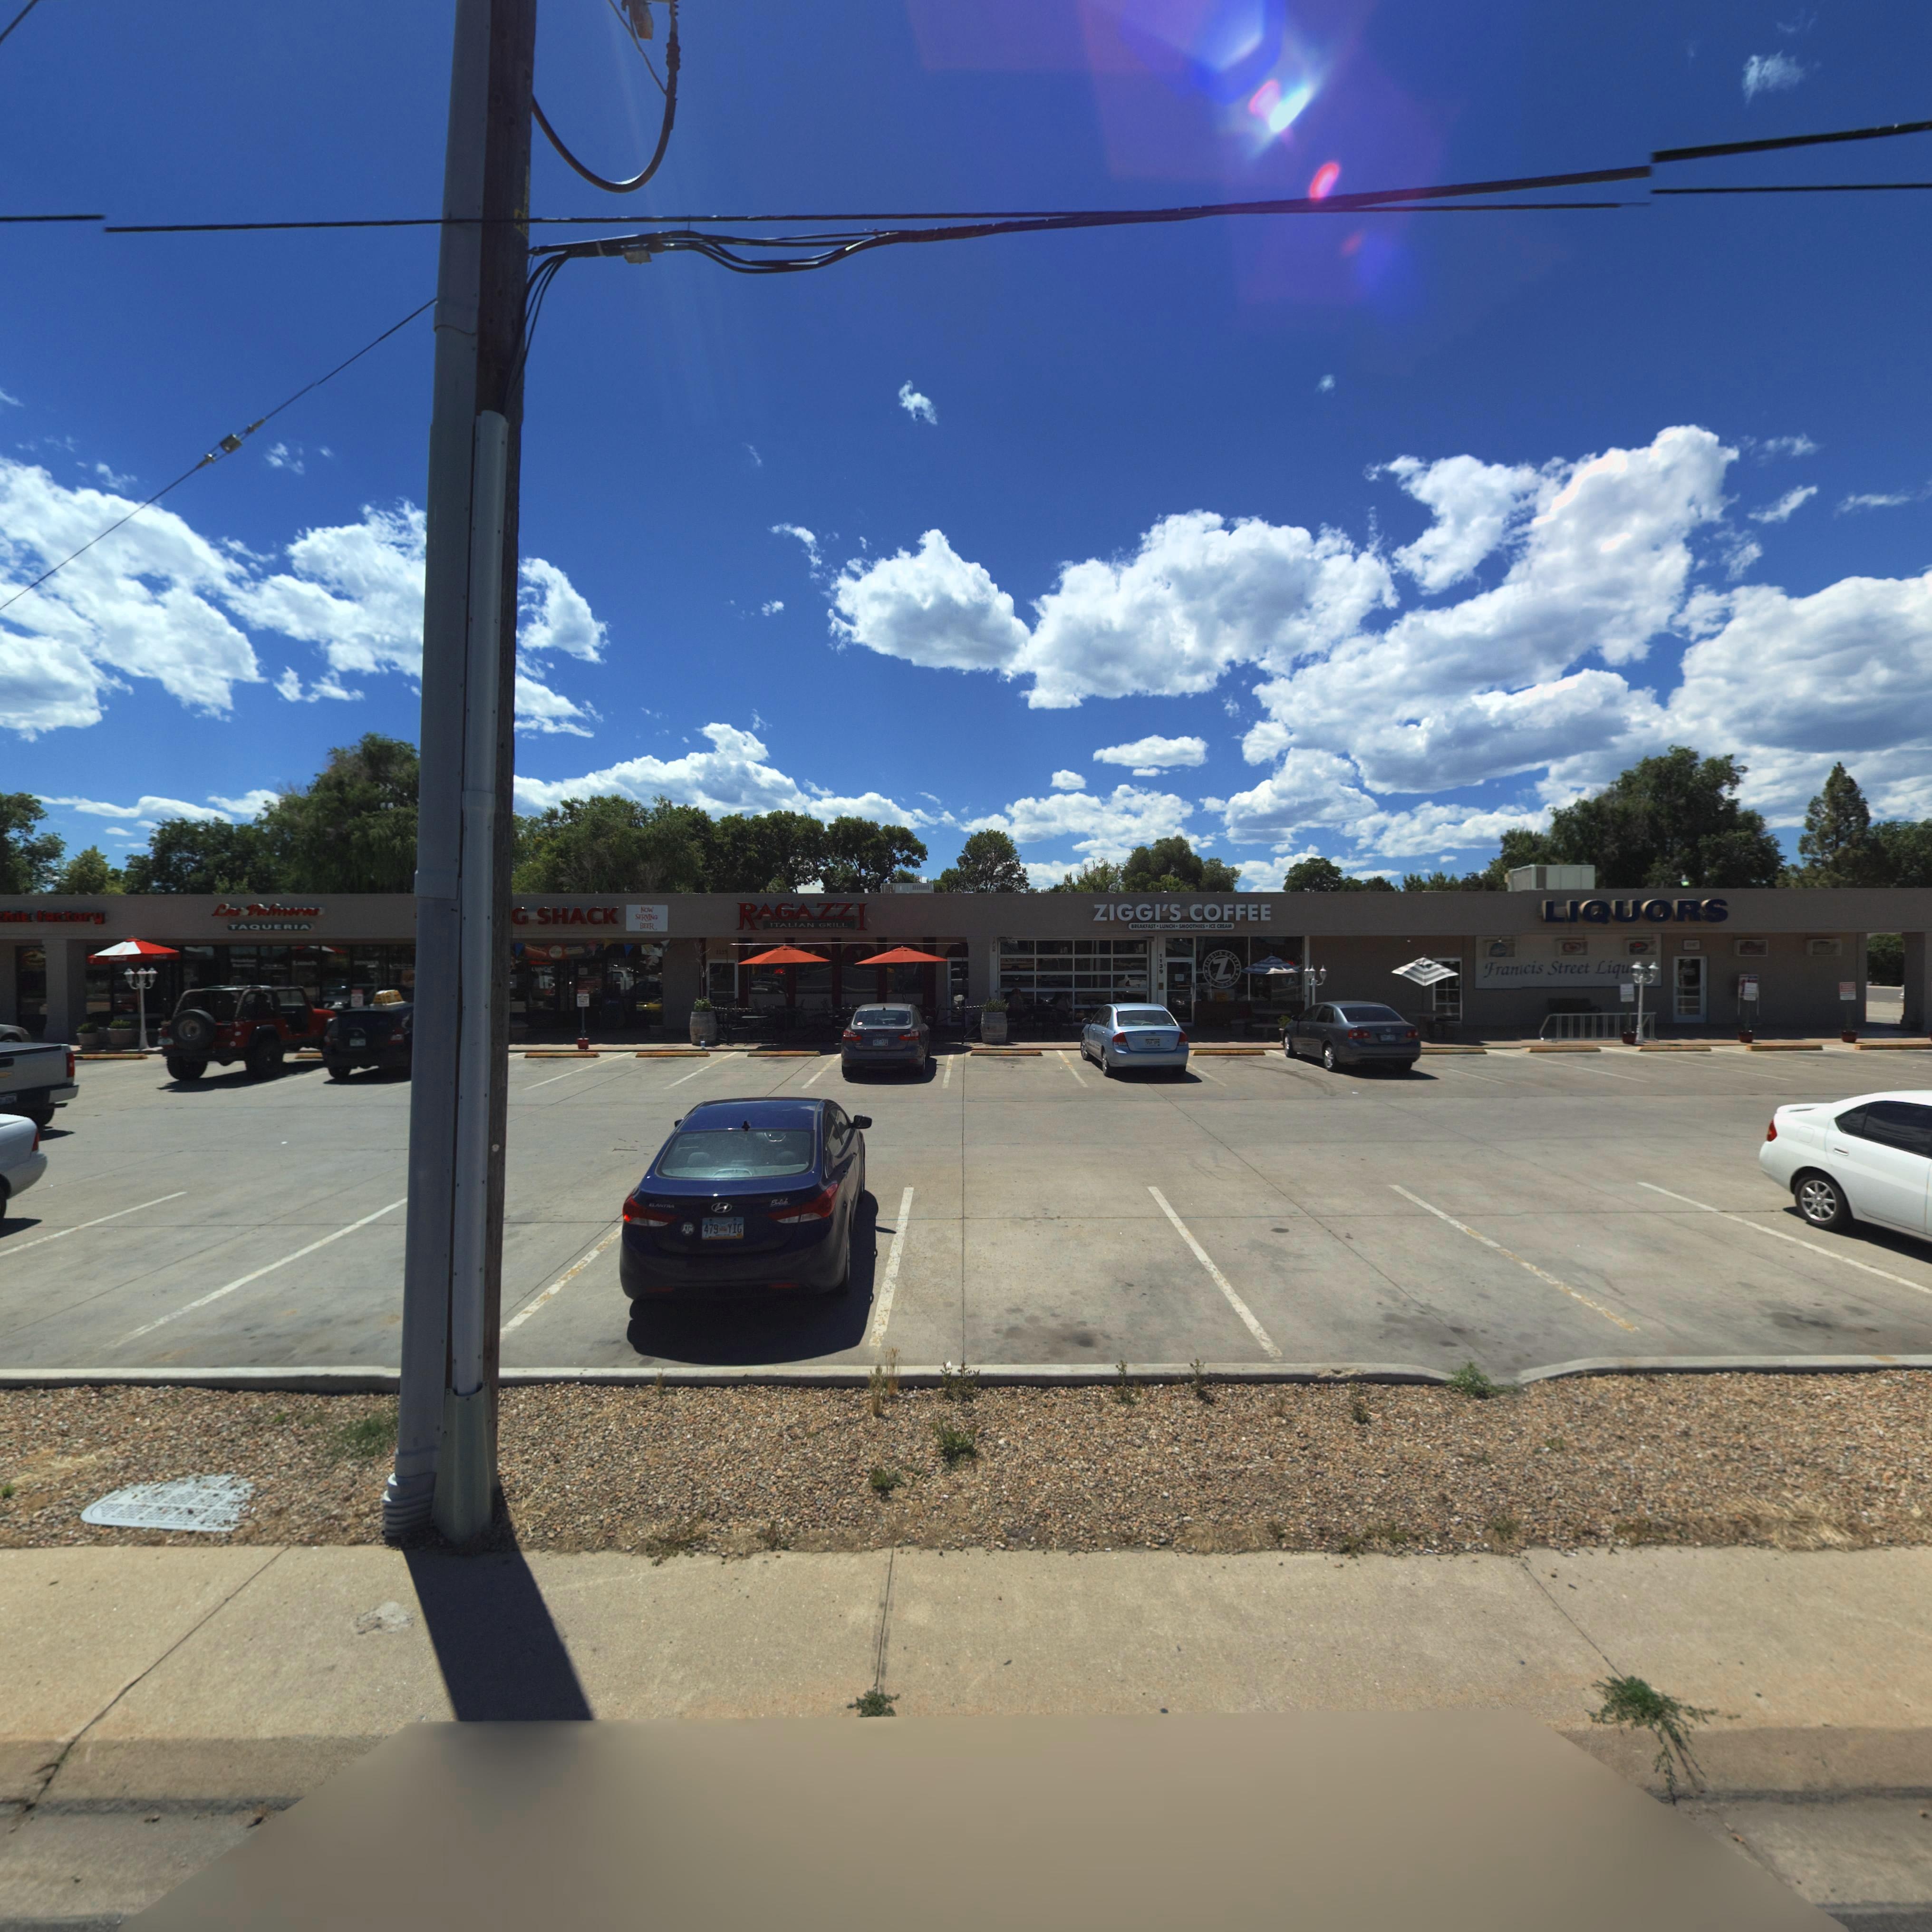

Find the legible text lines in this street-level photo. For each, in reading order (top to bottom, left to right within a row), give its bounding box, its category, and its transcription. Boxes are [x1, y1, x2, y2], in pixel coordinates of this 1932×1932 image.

[4, 910, 105, 924] BusinessName: ***E fActory
[211, 903, 320, 917] BusinessName: Las Palm*ras
[229, 924, 309, 929] BusinessName: TAQUERIA
[512, 906, 620, 925] BusinessName: G SHACK
[735, 902, 869, 931] BusinessName: RAGAZZI
[770, 922, 848, 927] BusinessName: ITALIAN GRILL
[1093, 904, 1271, 921] BusinessName: ZIGGI'S COFFEE
[1542, 898, 1728, 925] BusinessName: LIQUORS
[716, 949, 727, 954] StreetNumber: 1*35
[1685, 941, 1698, 947] StreetNumber: 1***
[1159, 953, 1163, 974] StreetNumber: 1139
[1205, 951, 1240, 971] BusinessName: ZIGGI'* COFFEE
[1482, 959, 1652, 979] BusinessName: Francis Street Liqu***